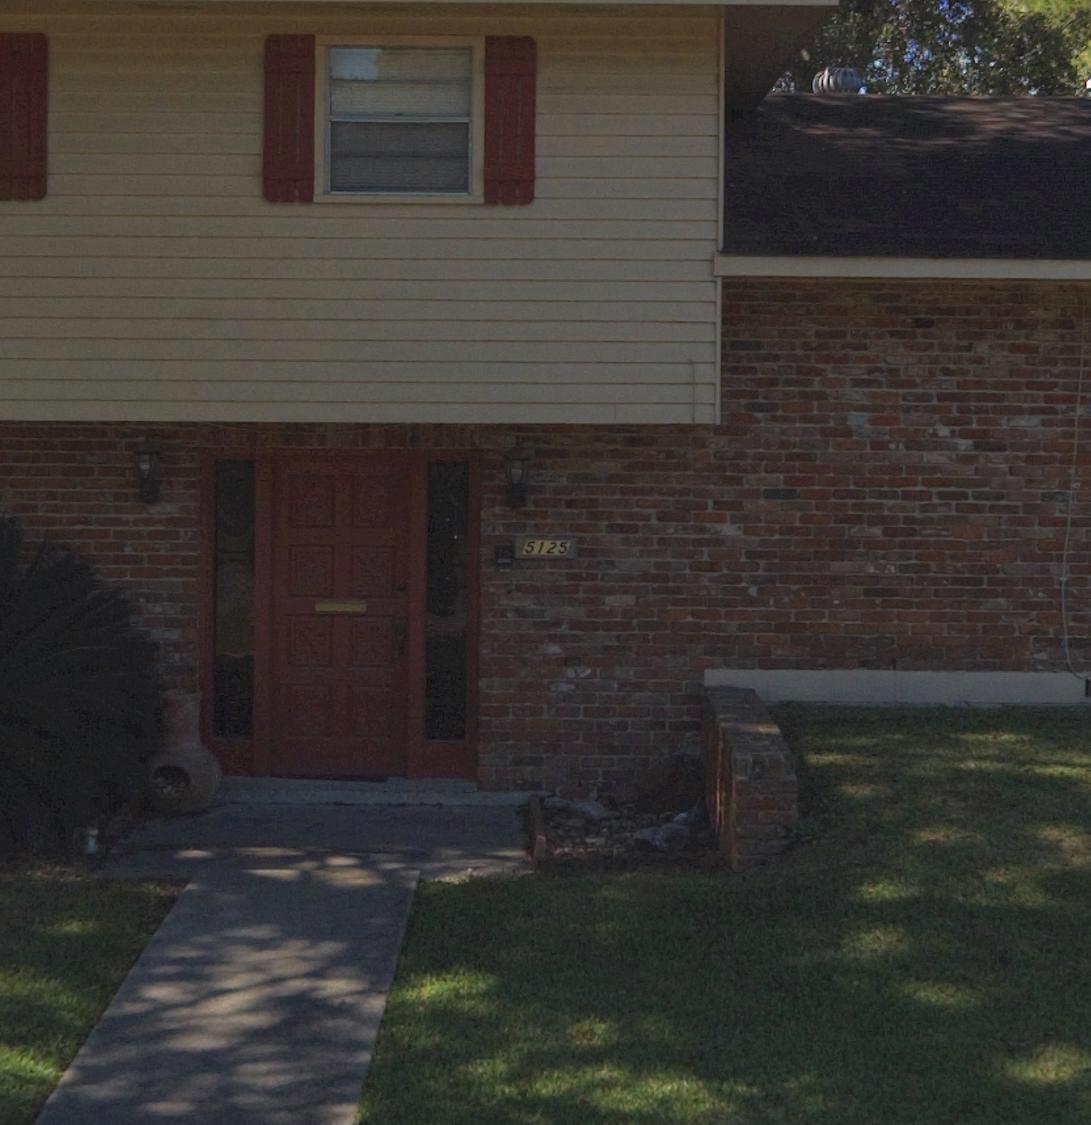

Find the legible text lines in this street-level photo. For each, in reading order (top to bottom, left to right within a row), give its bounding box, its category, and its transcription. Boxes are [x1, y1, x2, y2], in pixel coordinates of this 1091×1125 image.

[522, 540, 569, 554] StreetNumber: 5125